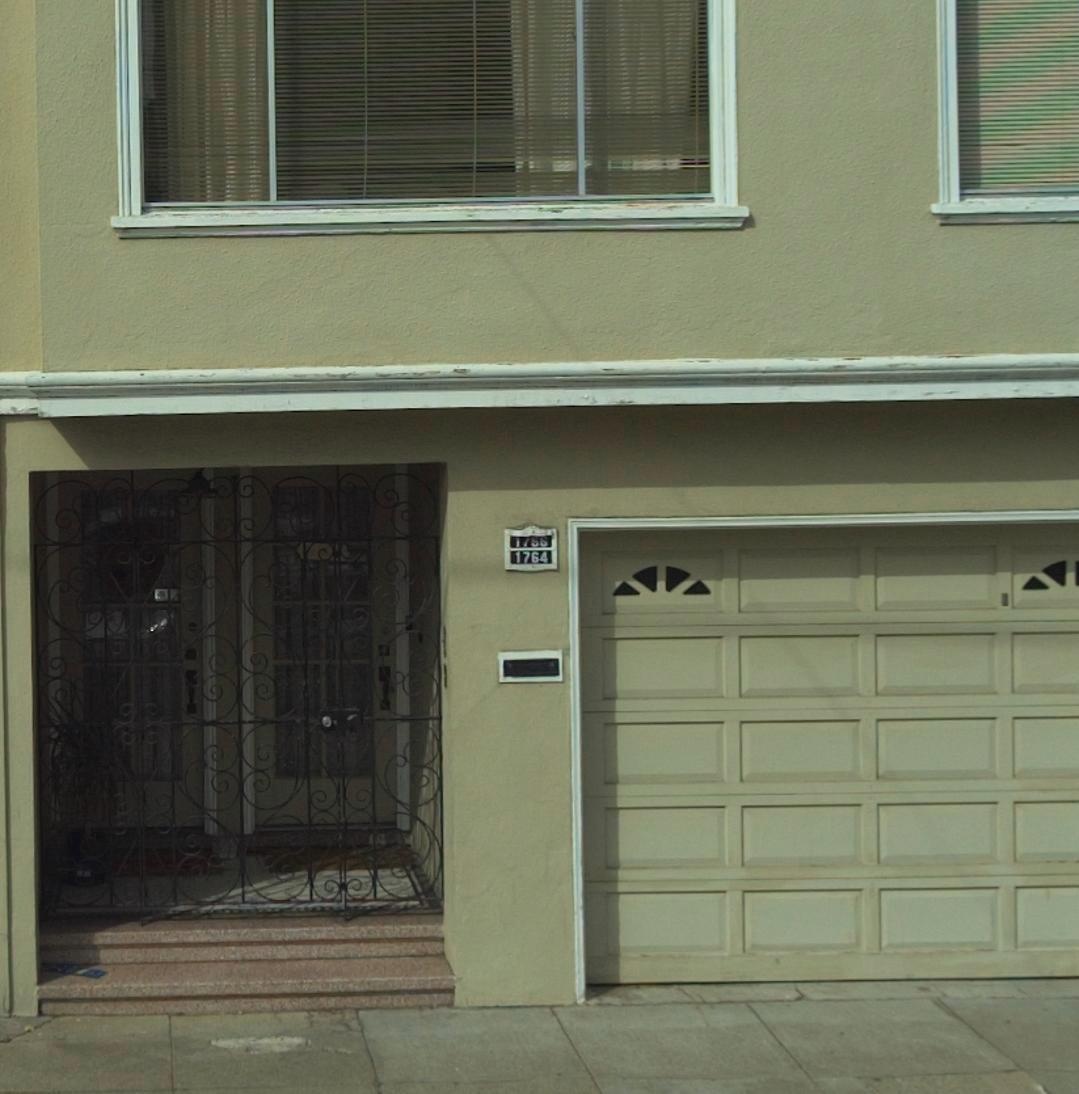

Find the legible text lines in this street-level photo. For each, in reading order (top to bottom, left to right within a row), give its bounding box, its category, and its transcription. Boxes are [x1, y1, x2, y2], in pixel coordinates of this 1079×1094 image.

[512, 534, 551, 550] StreetNumber: 1766
[513, 549, 550, 565] StreetNumber: 1764